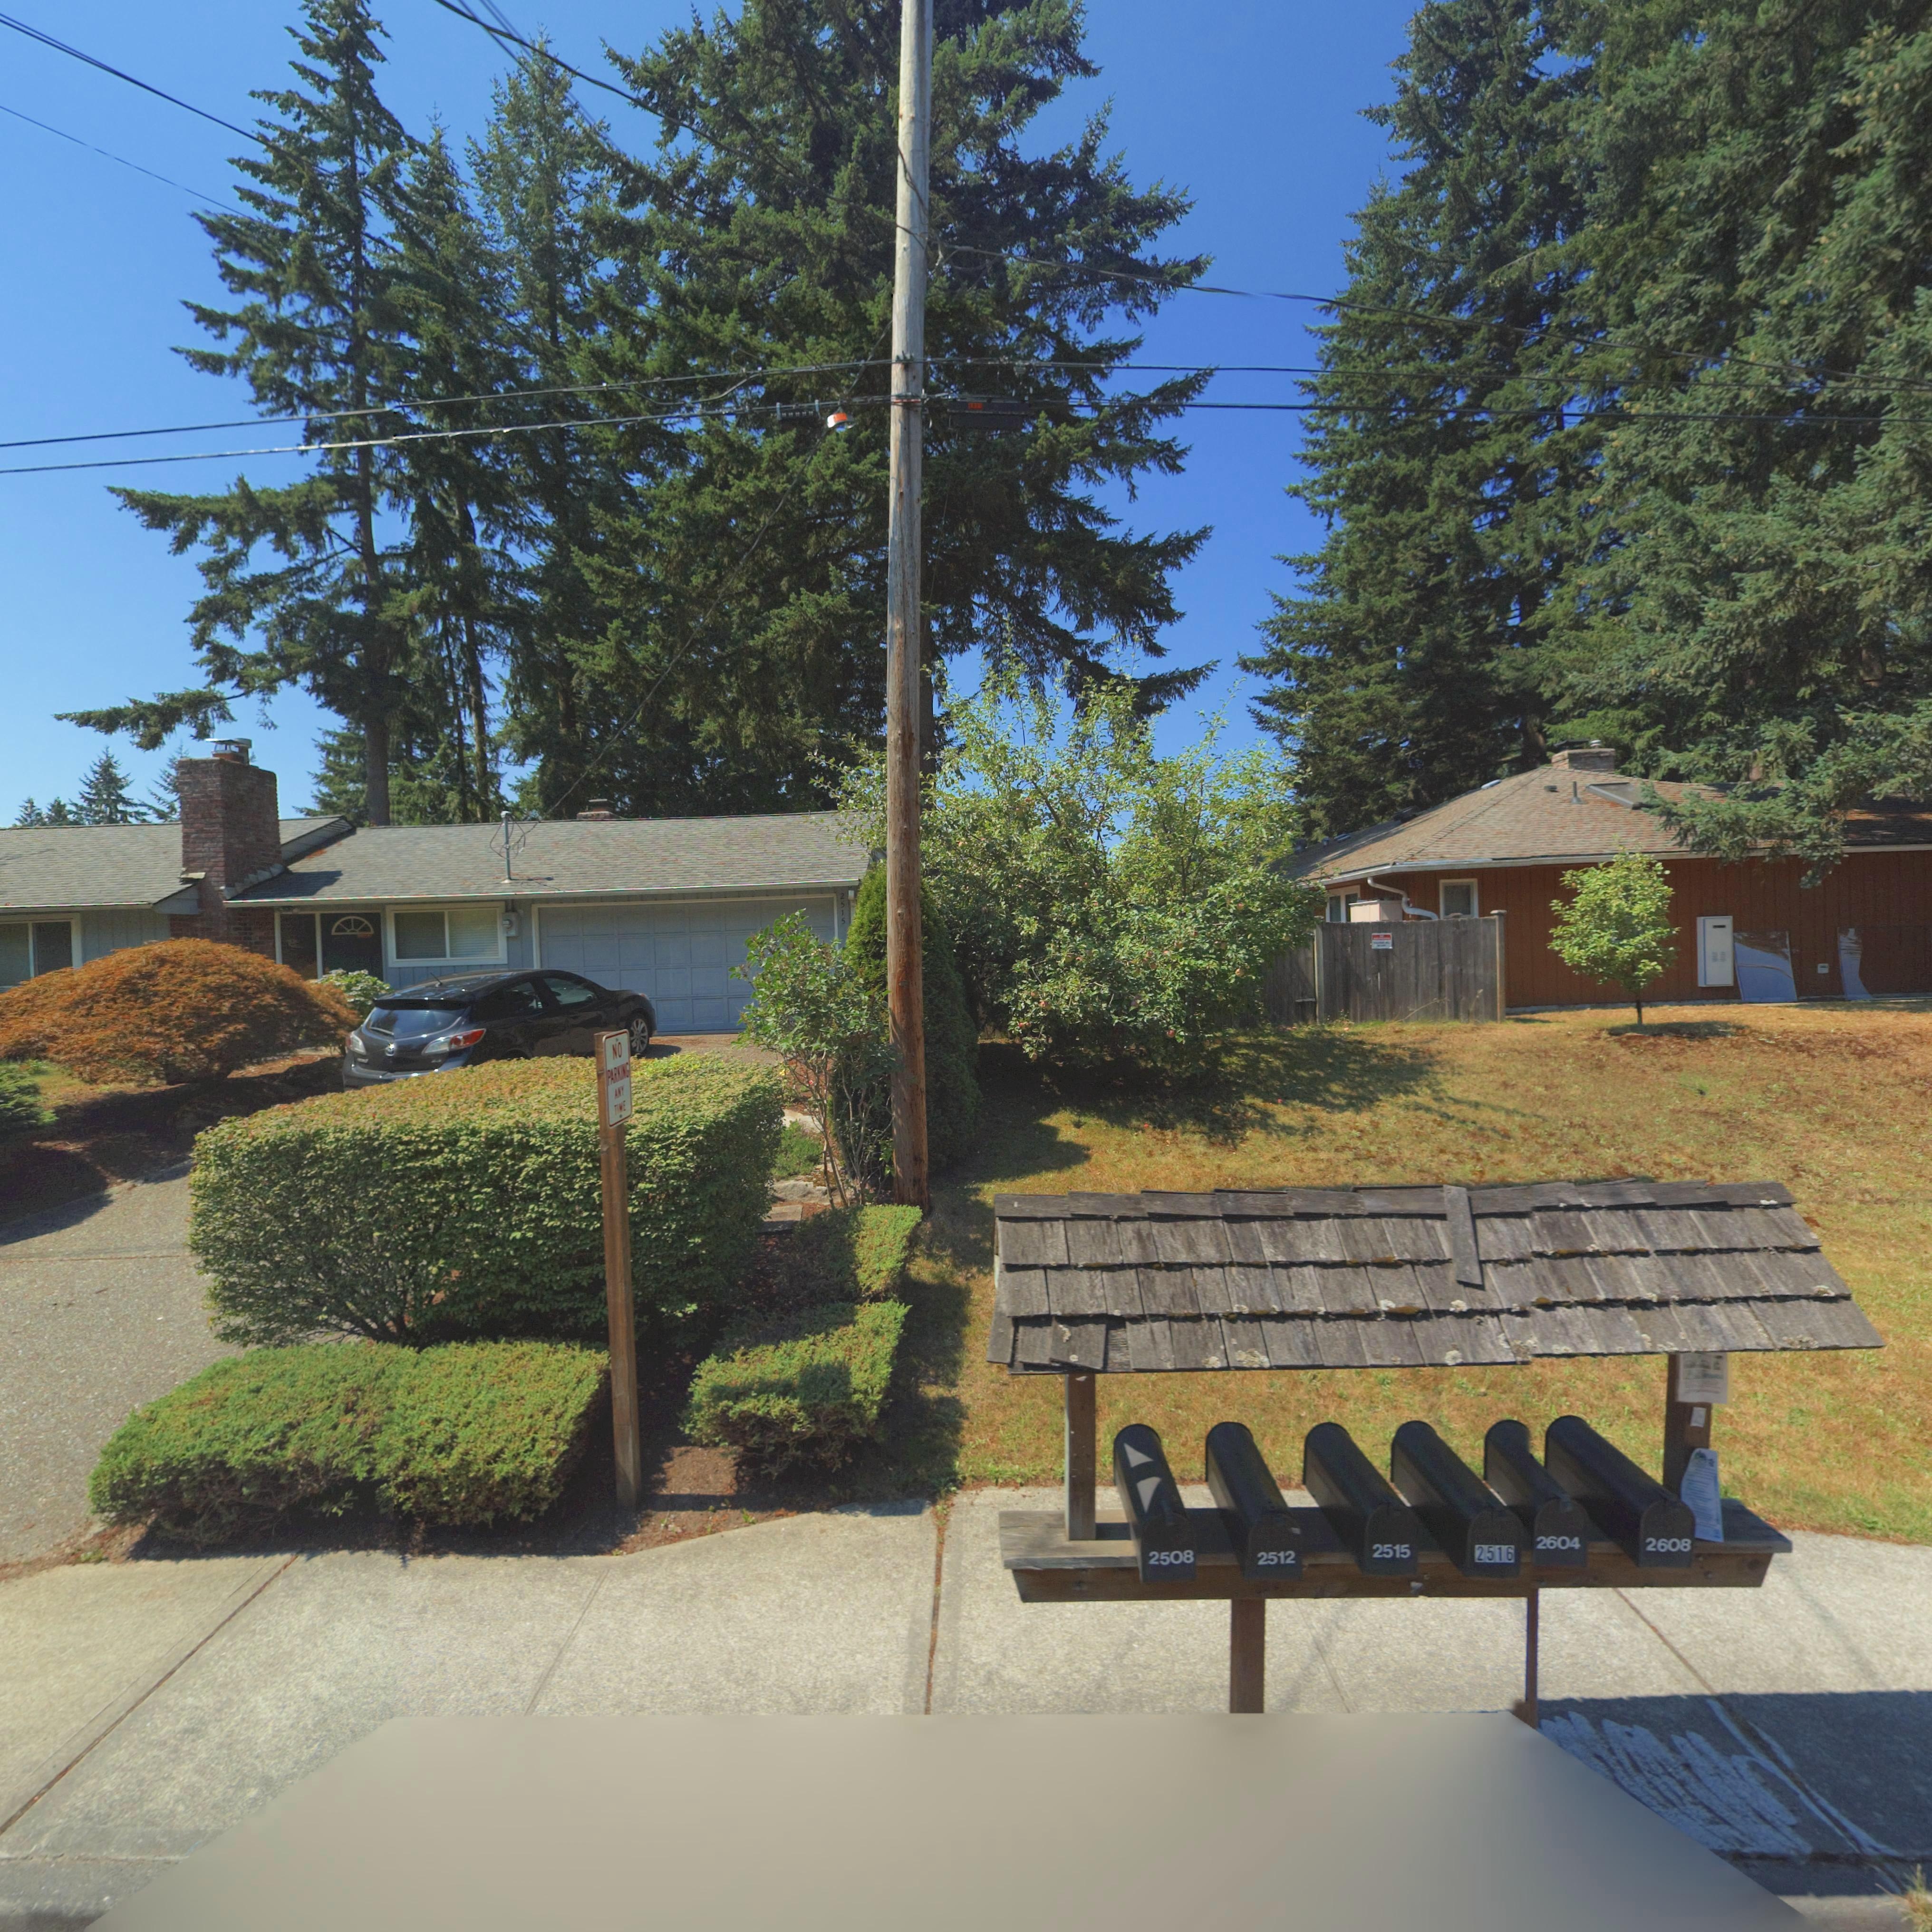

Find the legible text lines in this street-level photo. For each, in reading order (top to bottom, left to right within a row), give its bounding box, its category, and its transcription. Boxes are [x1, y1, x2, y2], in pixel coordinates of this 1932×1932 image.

[840, 892, 845, 924] StreetNumber: 2515
[1149, 1550, 1194, 1565] StreetNumber: 2508
[1257, 1550, 1295, 1565] StreetNumber: 2512
[1372, 1544, 1410, 1557] StreetNumber: 2515
[1477, 1546, 1513, 1561] StreetNumber: *516
[1536, 1536, 1580, 1549] StreetNumber: 2604
[1647, 1538, 1690, 1552] StreetNumber: 2608